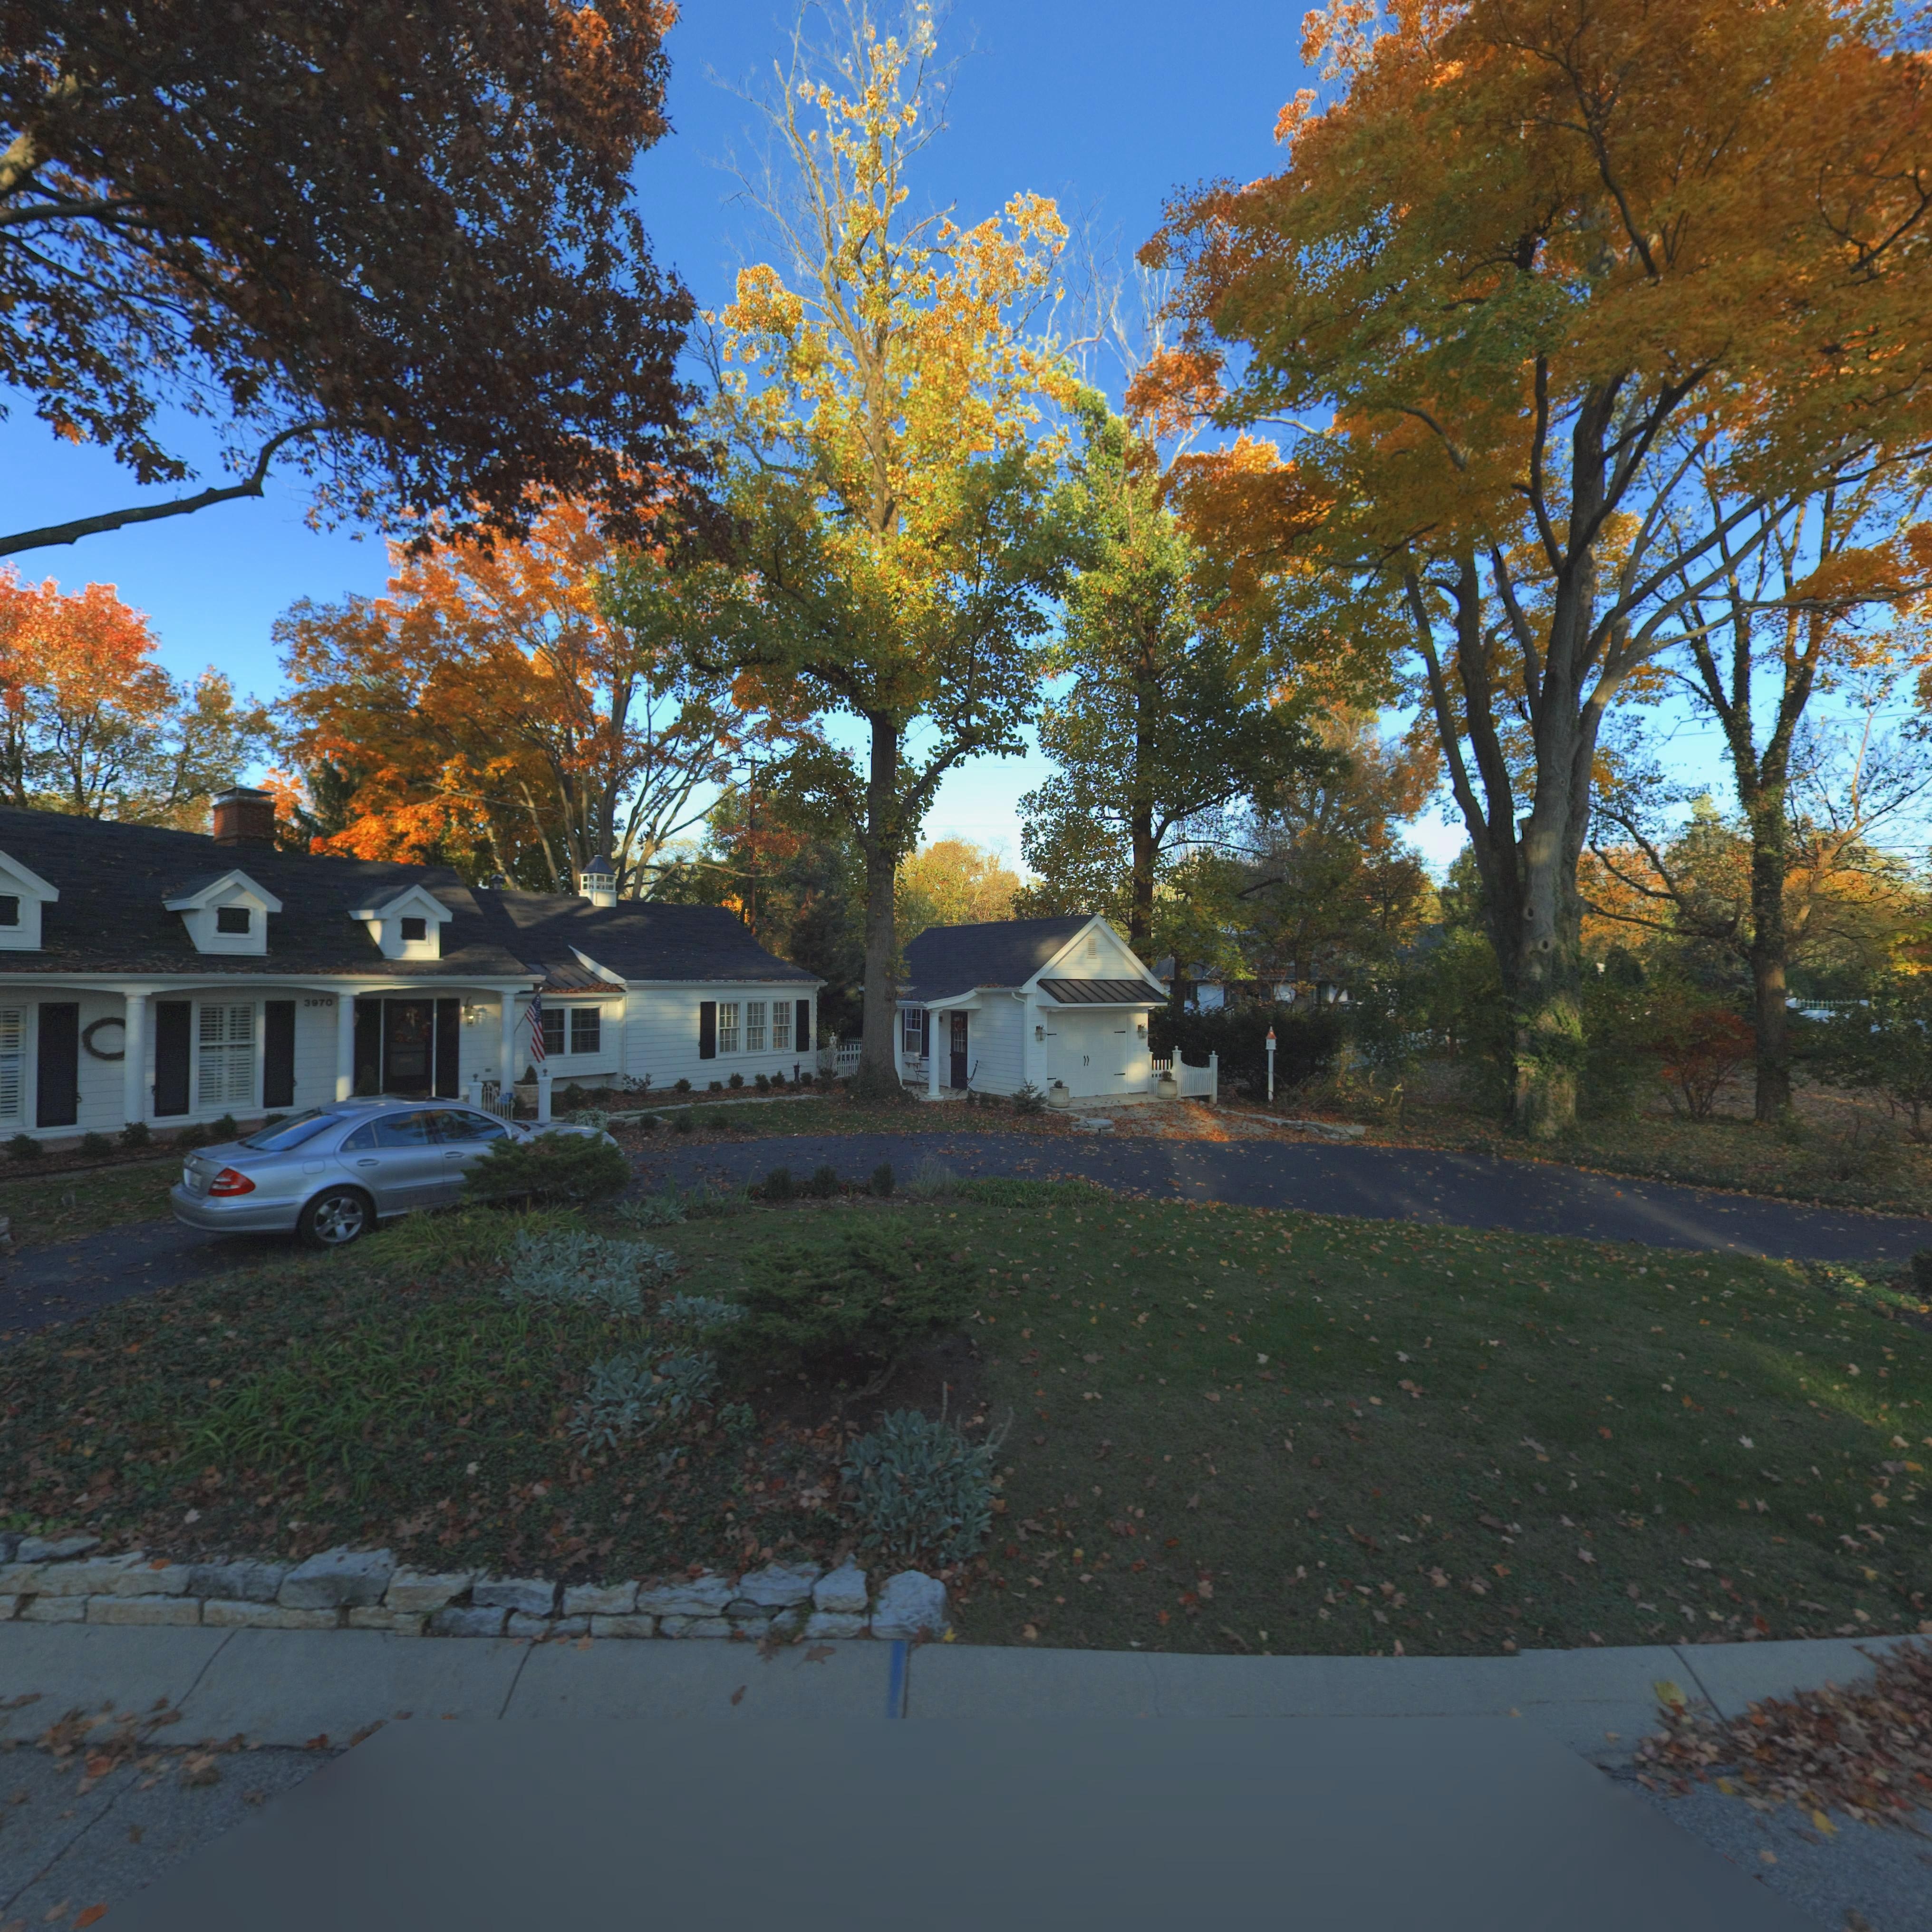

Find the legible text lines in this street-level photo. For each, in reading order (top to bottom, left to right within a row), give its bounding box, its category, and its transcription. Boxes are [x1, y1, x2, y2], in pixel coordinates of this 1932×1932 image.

[303, 998, 334, 1008] StreetNumber: 3970